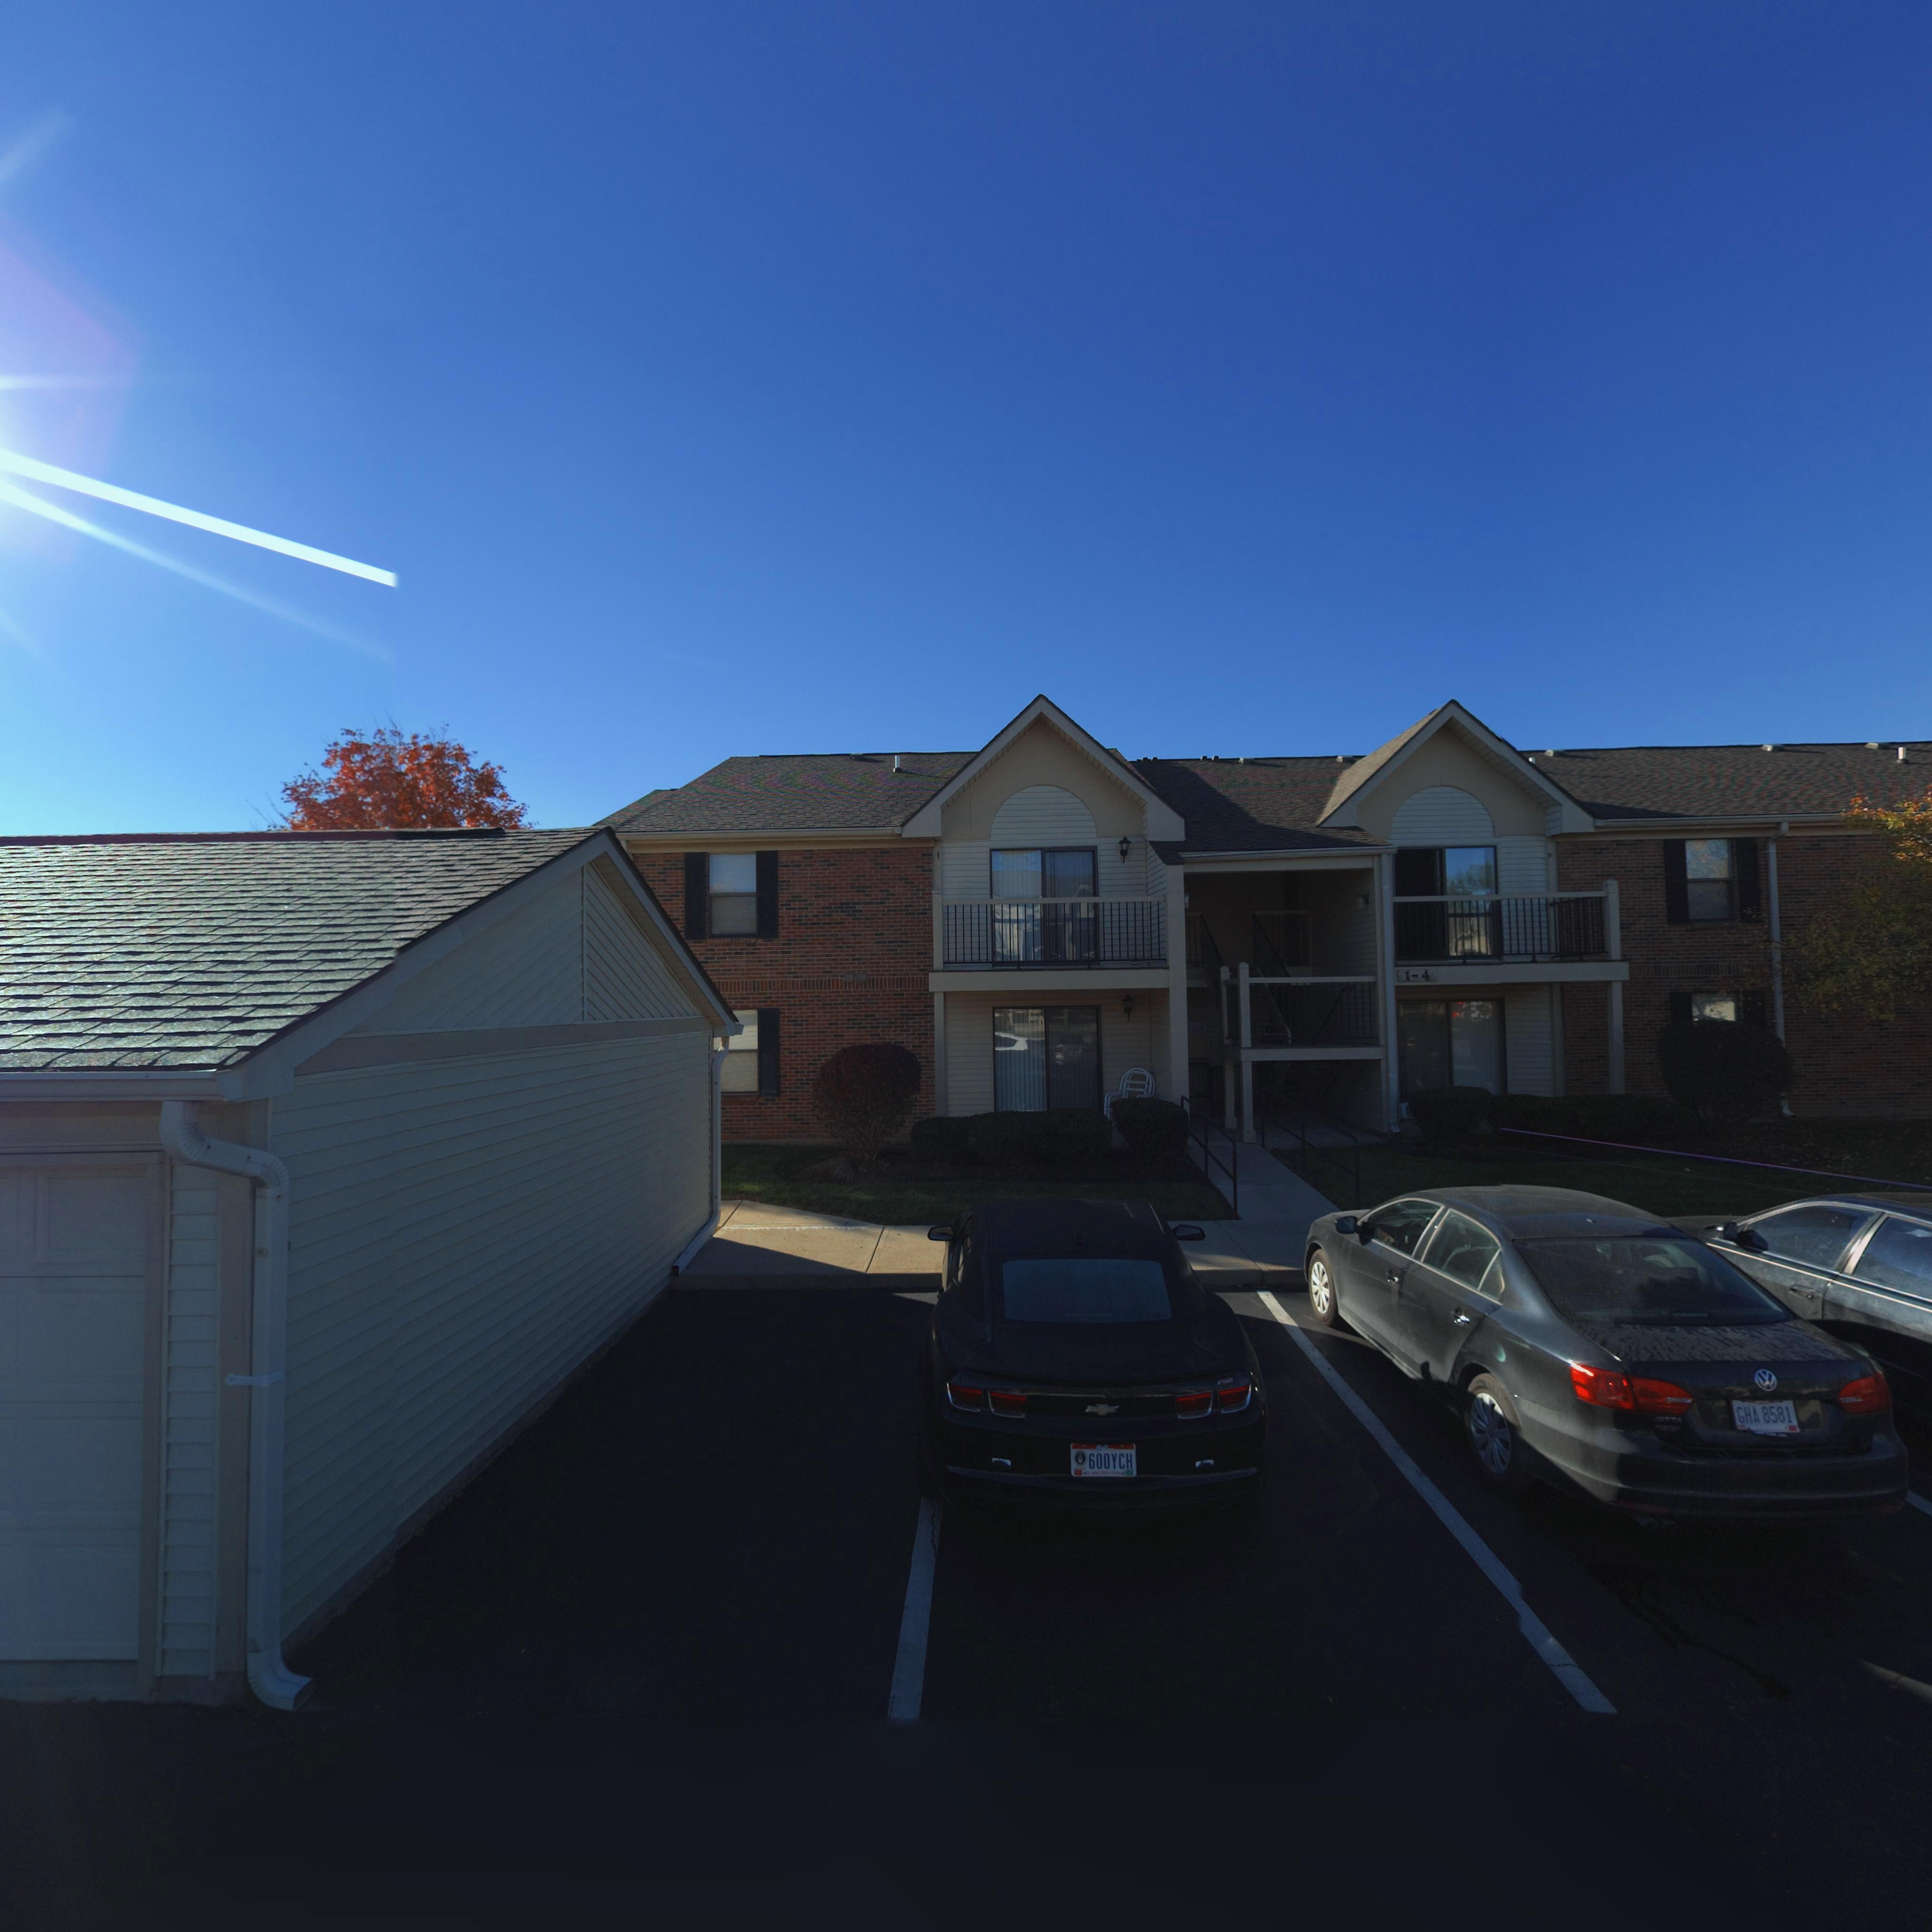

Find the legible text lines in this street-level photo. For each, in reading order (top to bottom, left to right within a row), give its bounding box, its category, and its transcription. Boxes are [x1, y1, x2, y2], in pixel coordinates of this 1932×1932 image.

[1404, 969, 1430, 982] StreetNumber: 1-4